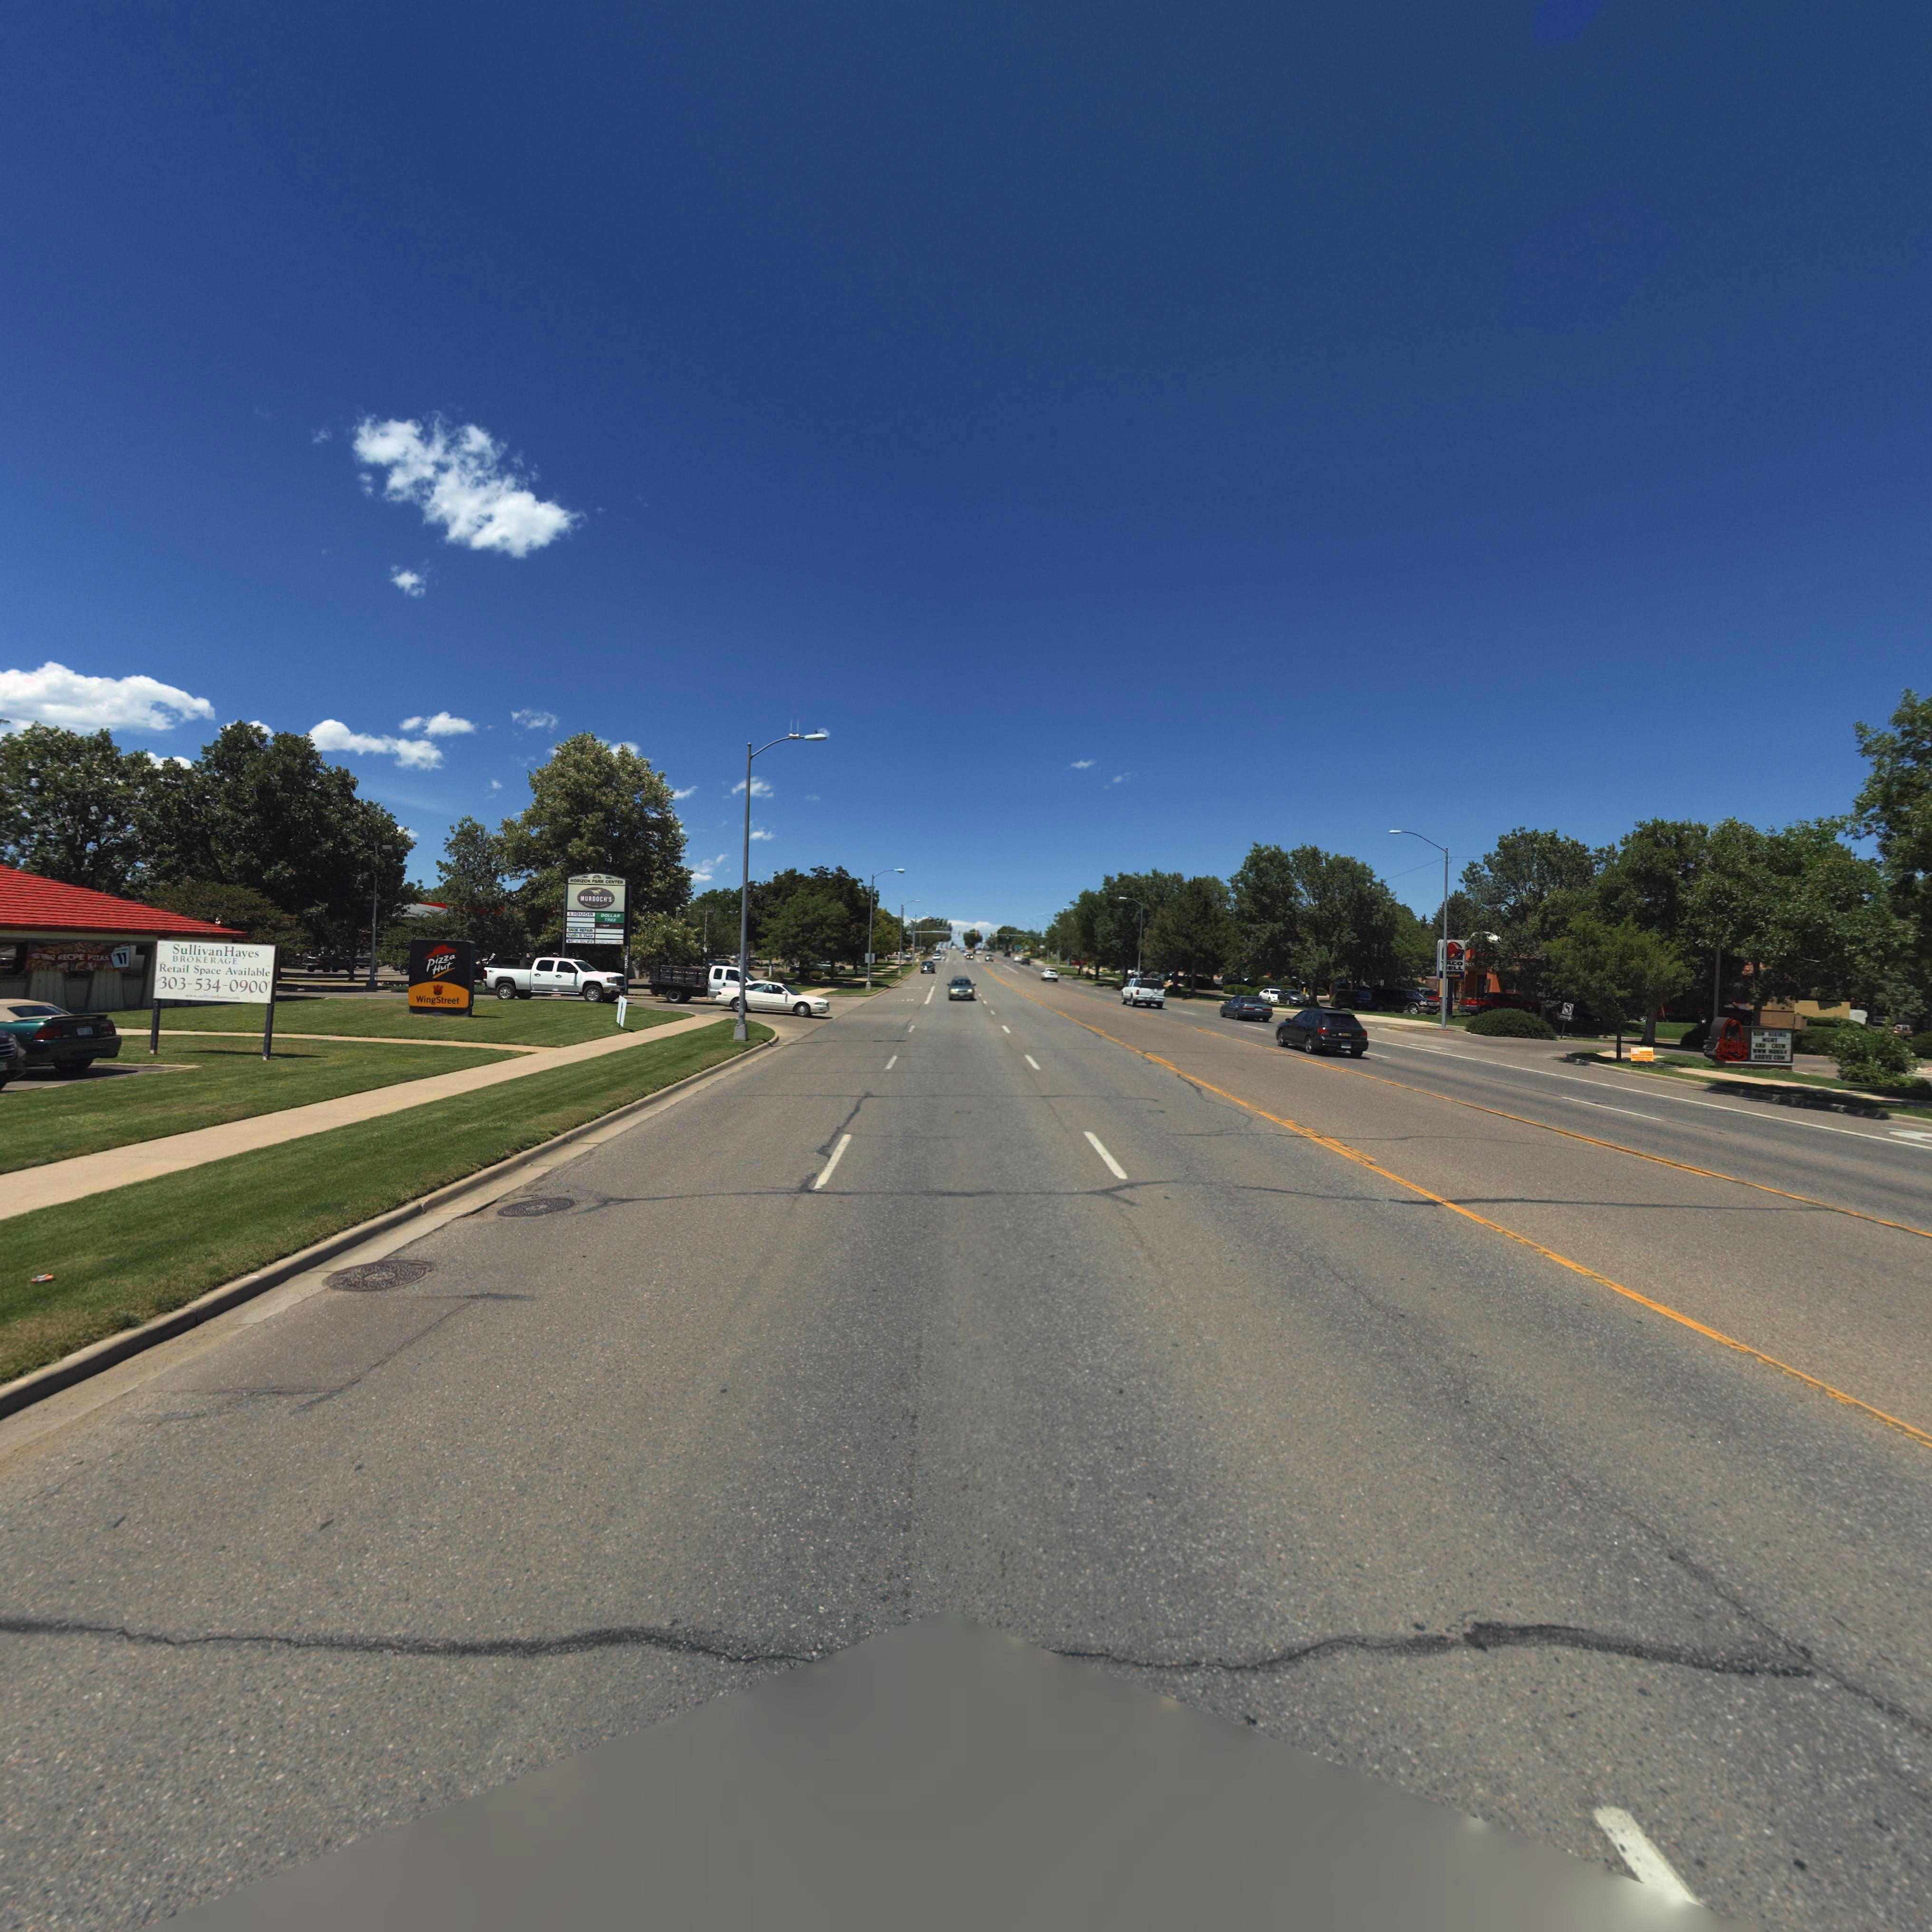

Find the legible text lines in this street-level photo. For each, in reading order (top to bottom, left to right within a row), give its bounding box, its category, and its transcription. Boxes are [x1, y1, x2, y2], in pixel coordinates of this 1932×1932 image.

[580, 896, 612, 902] BusinessName: *U*DOCH*S
[600, 913, 620, 918] BusinessName: DOLLAR
[604, 918, 617, 922] BusinessName: T***
[624, 946, 629, 968] StreetNumber: 2255
[426, 954, 456, 972] BusinessName: Pizza
[433, 961, 453, 975] BusinessName: Hut
[1440, 960, 1463, 966] BusinessName: *ACO
[1442, 966, 1463, 970] BusinessName: **LL
[416, 995, 459, 1005] BusinessName: Wing Street
[1716, 1037, 1749, 1056] BusinessName: Arbys